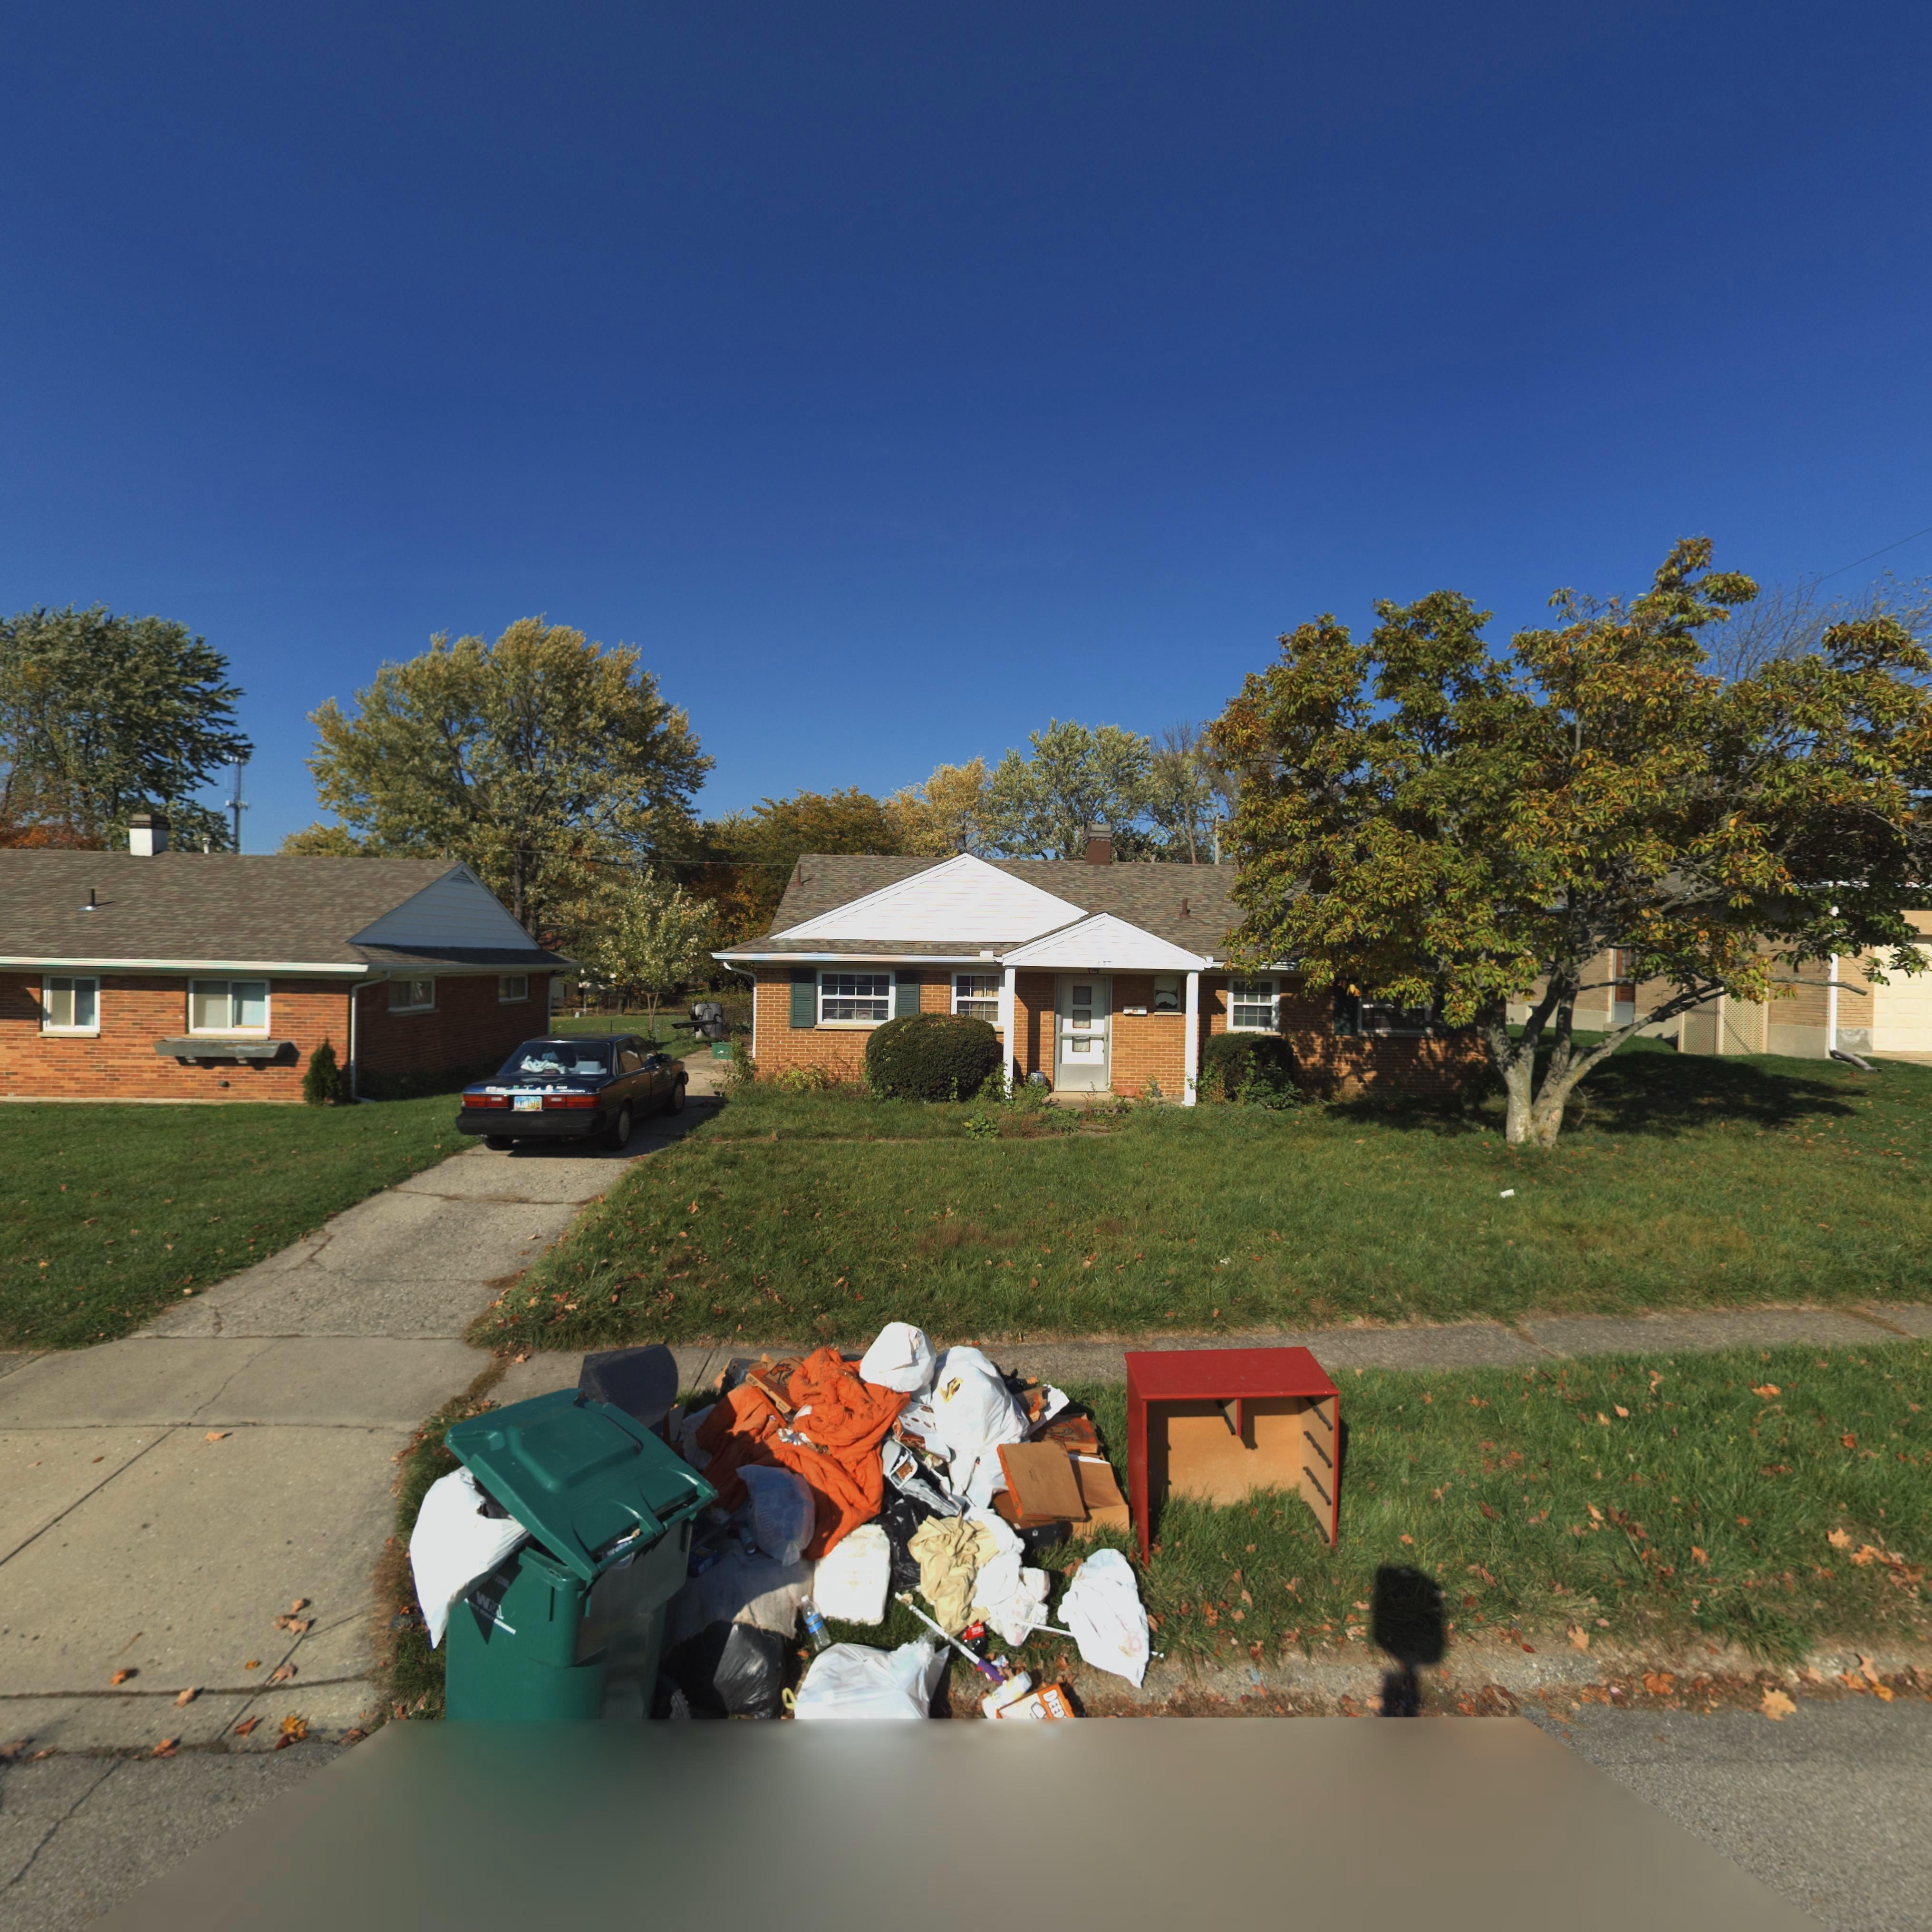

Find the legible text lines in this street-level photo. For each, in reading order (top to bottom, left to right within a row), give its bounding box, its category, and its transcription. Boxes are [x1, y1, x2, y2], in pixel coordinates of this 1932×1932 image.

[1096, 960, 1112, 966] StreetNumber: 633
[515, 1099, 540, 1107] None: F*C*151*